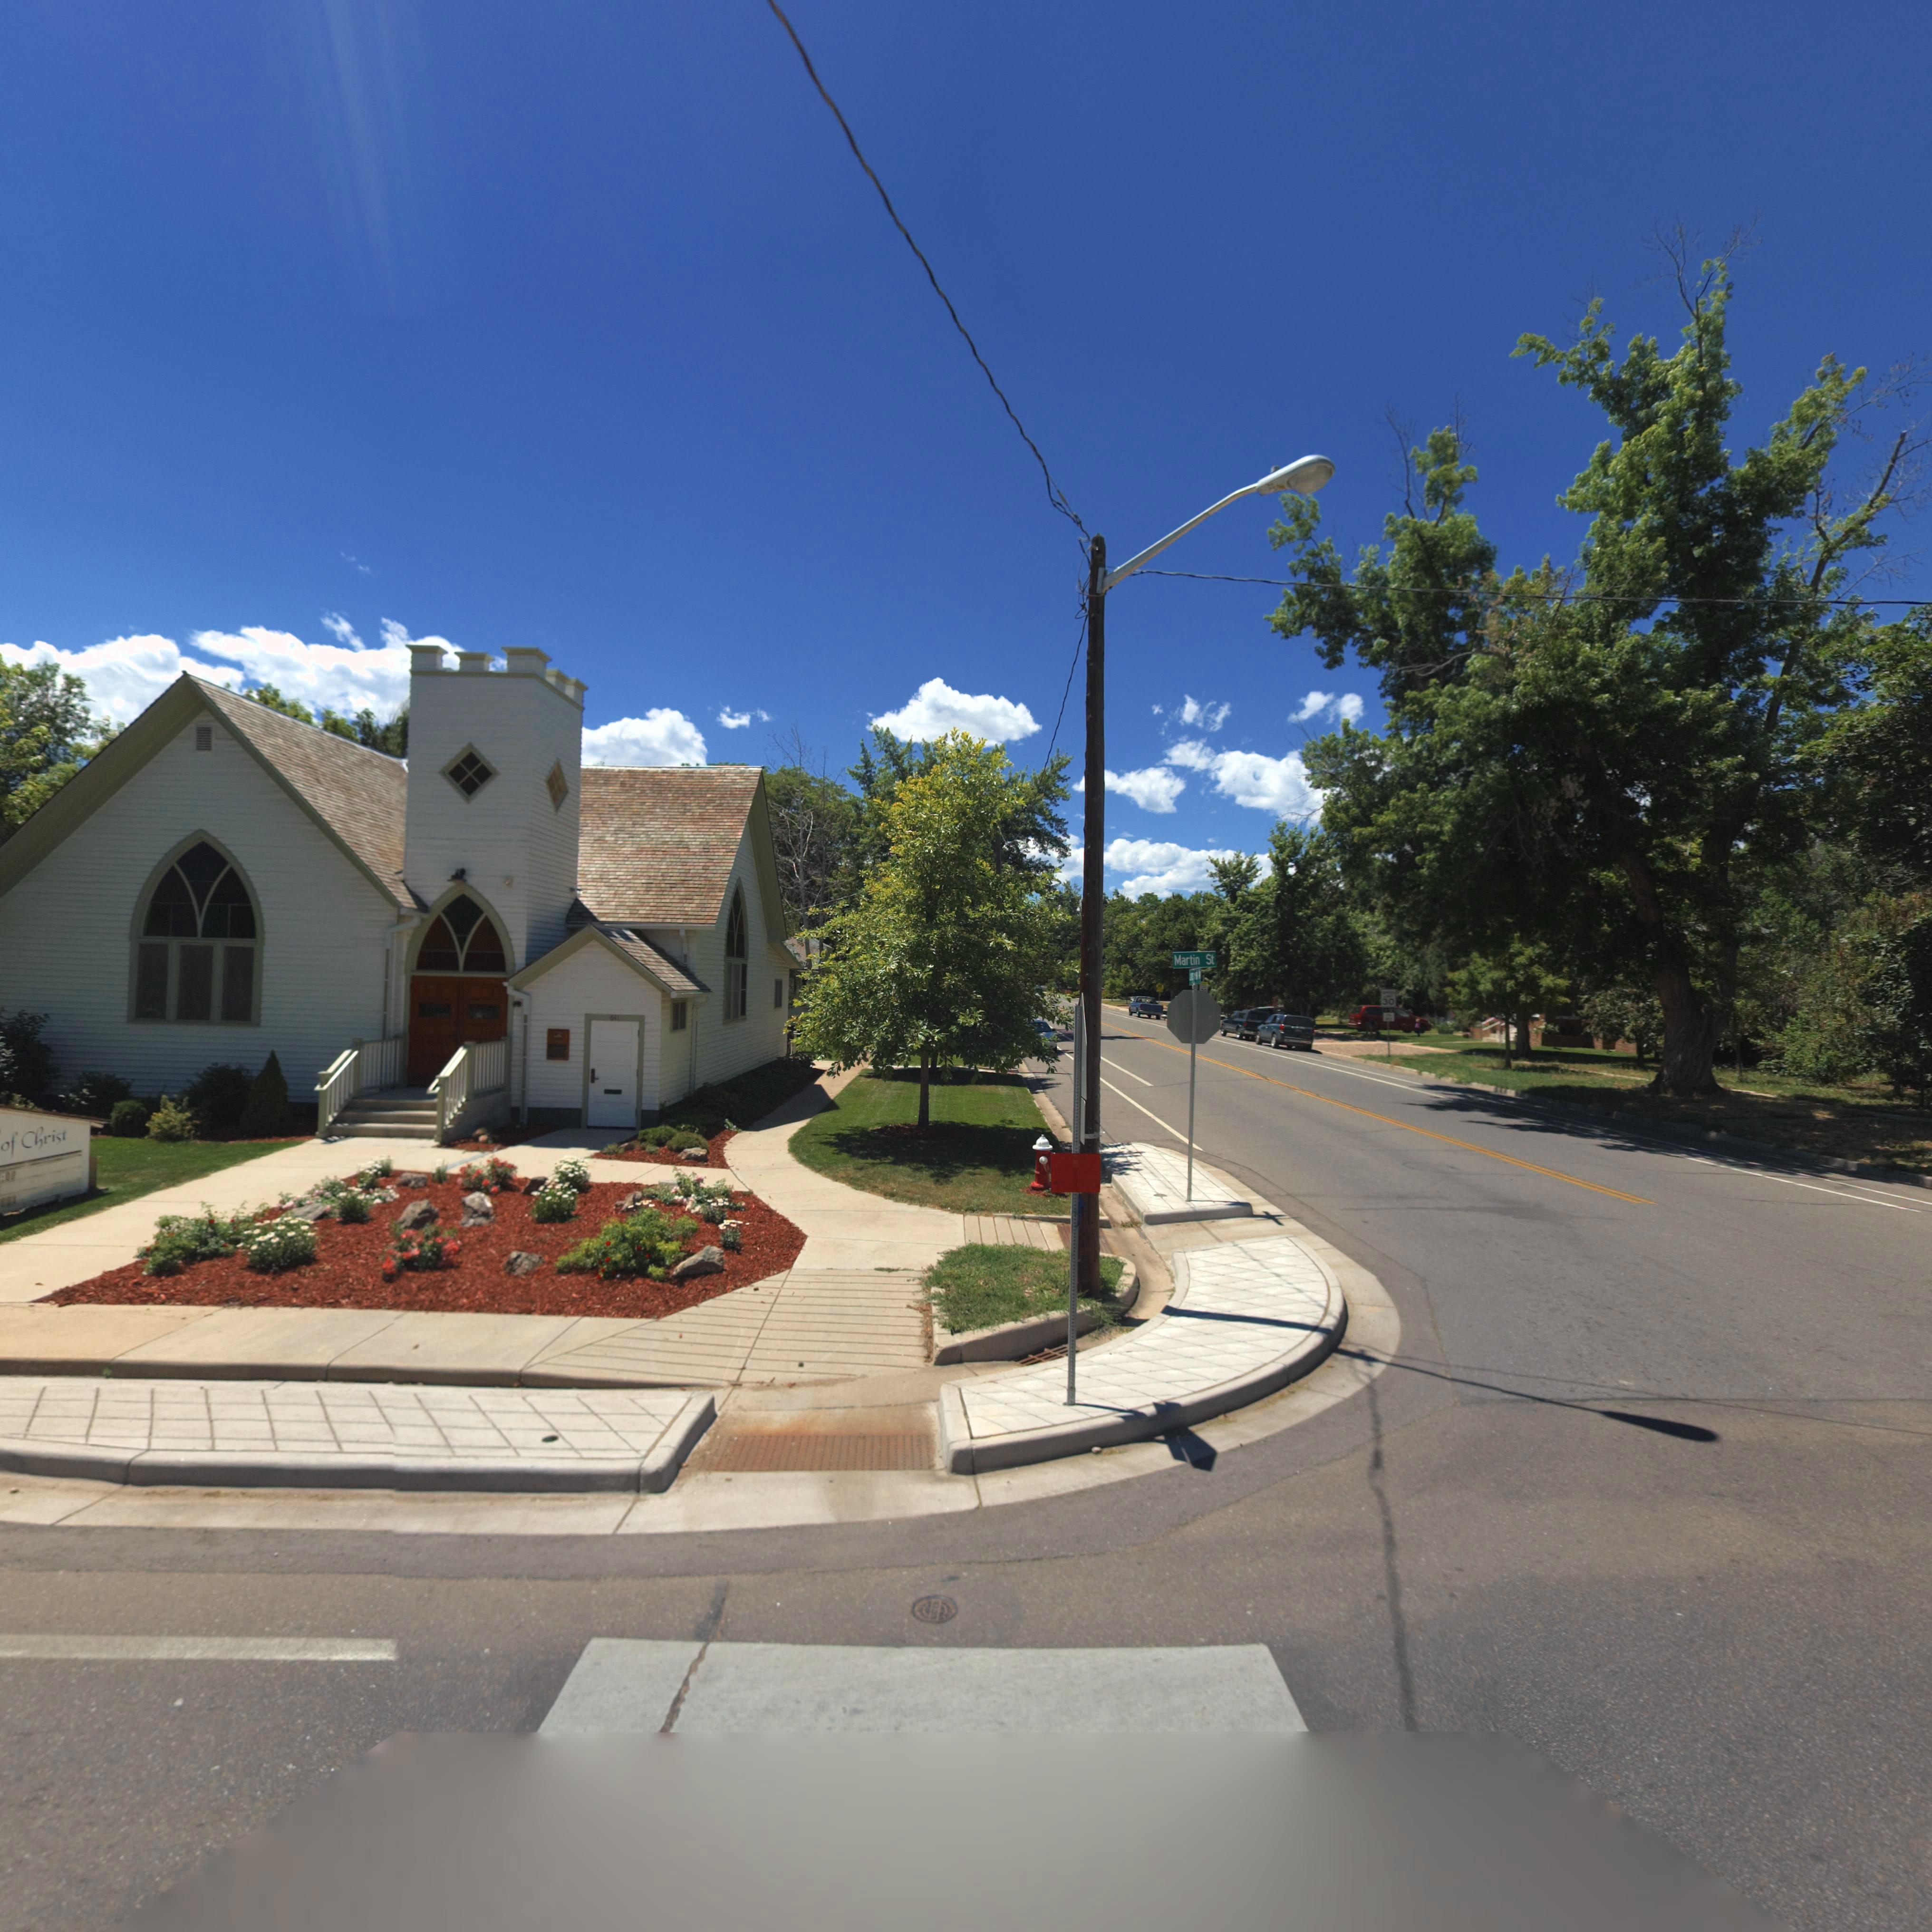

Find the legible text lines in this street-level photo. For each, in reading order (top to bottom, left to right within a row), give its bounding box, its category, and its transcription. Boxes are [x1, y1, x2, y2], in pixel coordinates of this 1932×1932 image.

[1174, 954, 1215, 966] StreetName: Martin St
[609, 1014, 619, 1021] StreetNumber: 641
[0, 1125, 67, 1154] BusinessName: of Christ